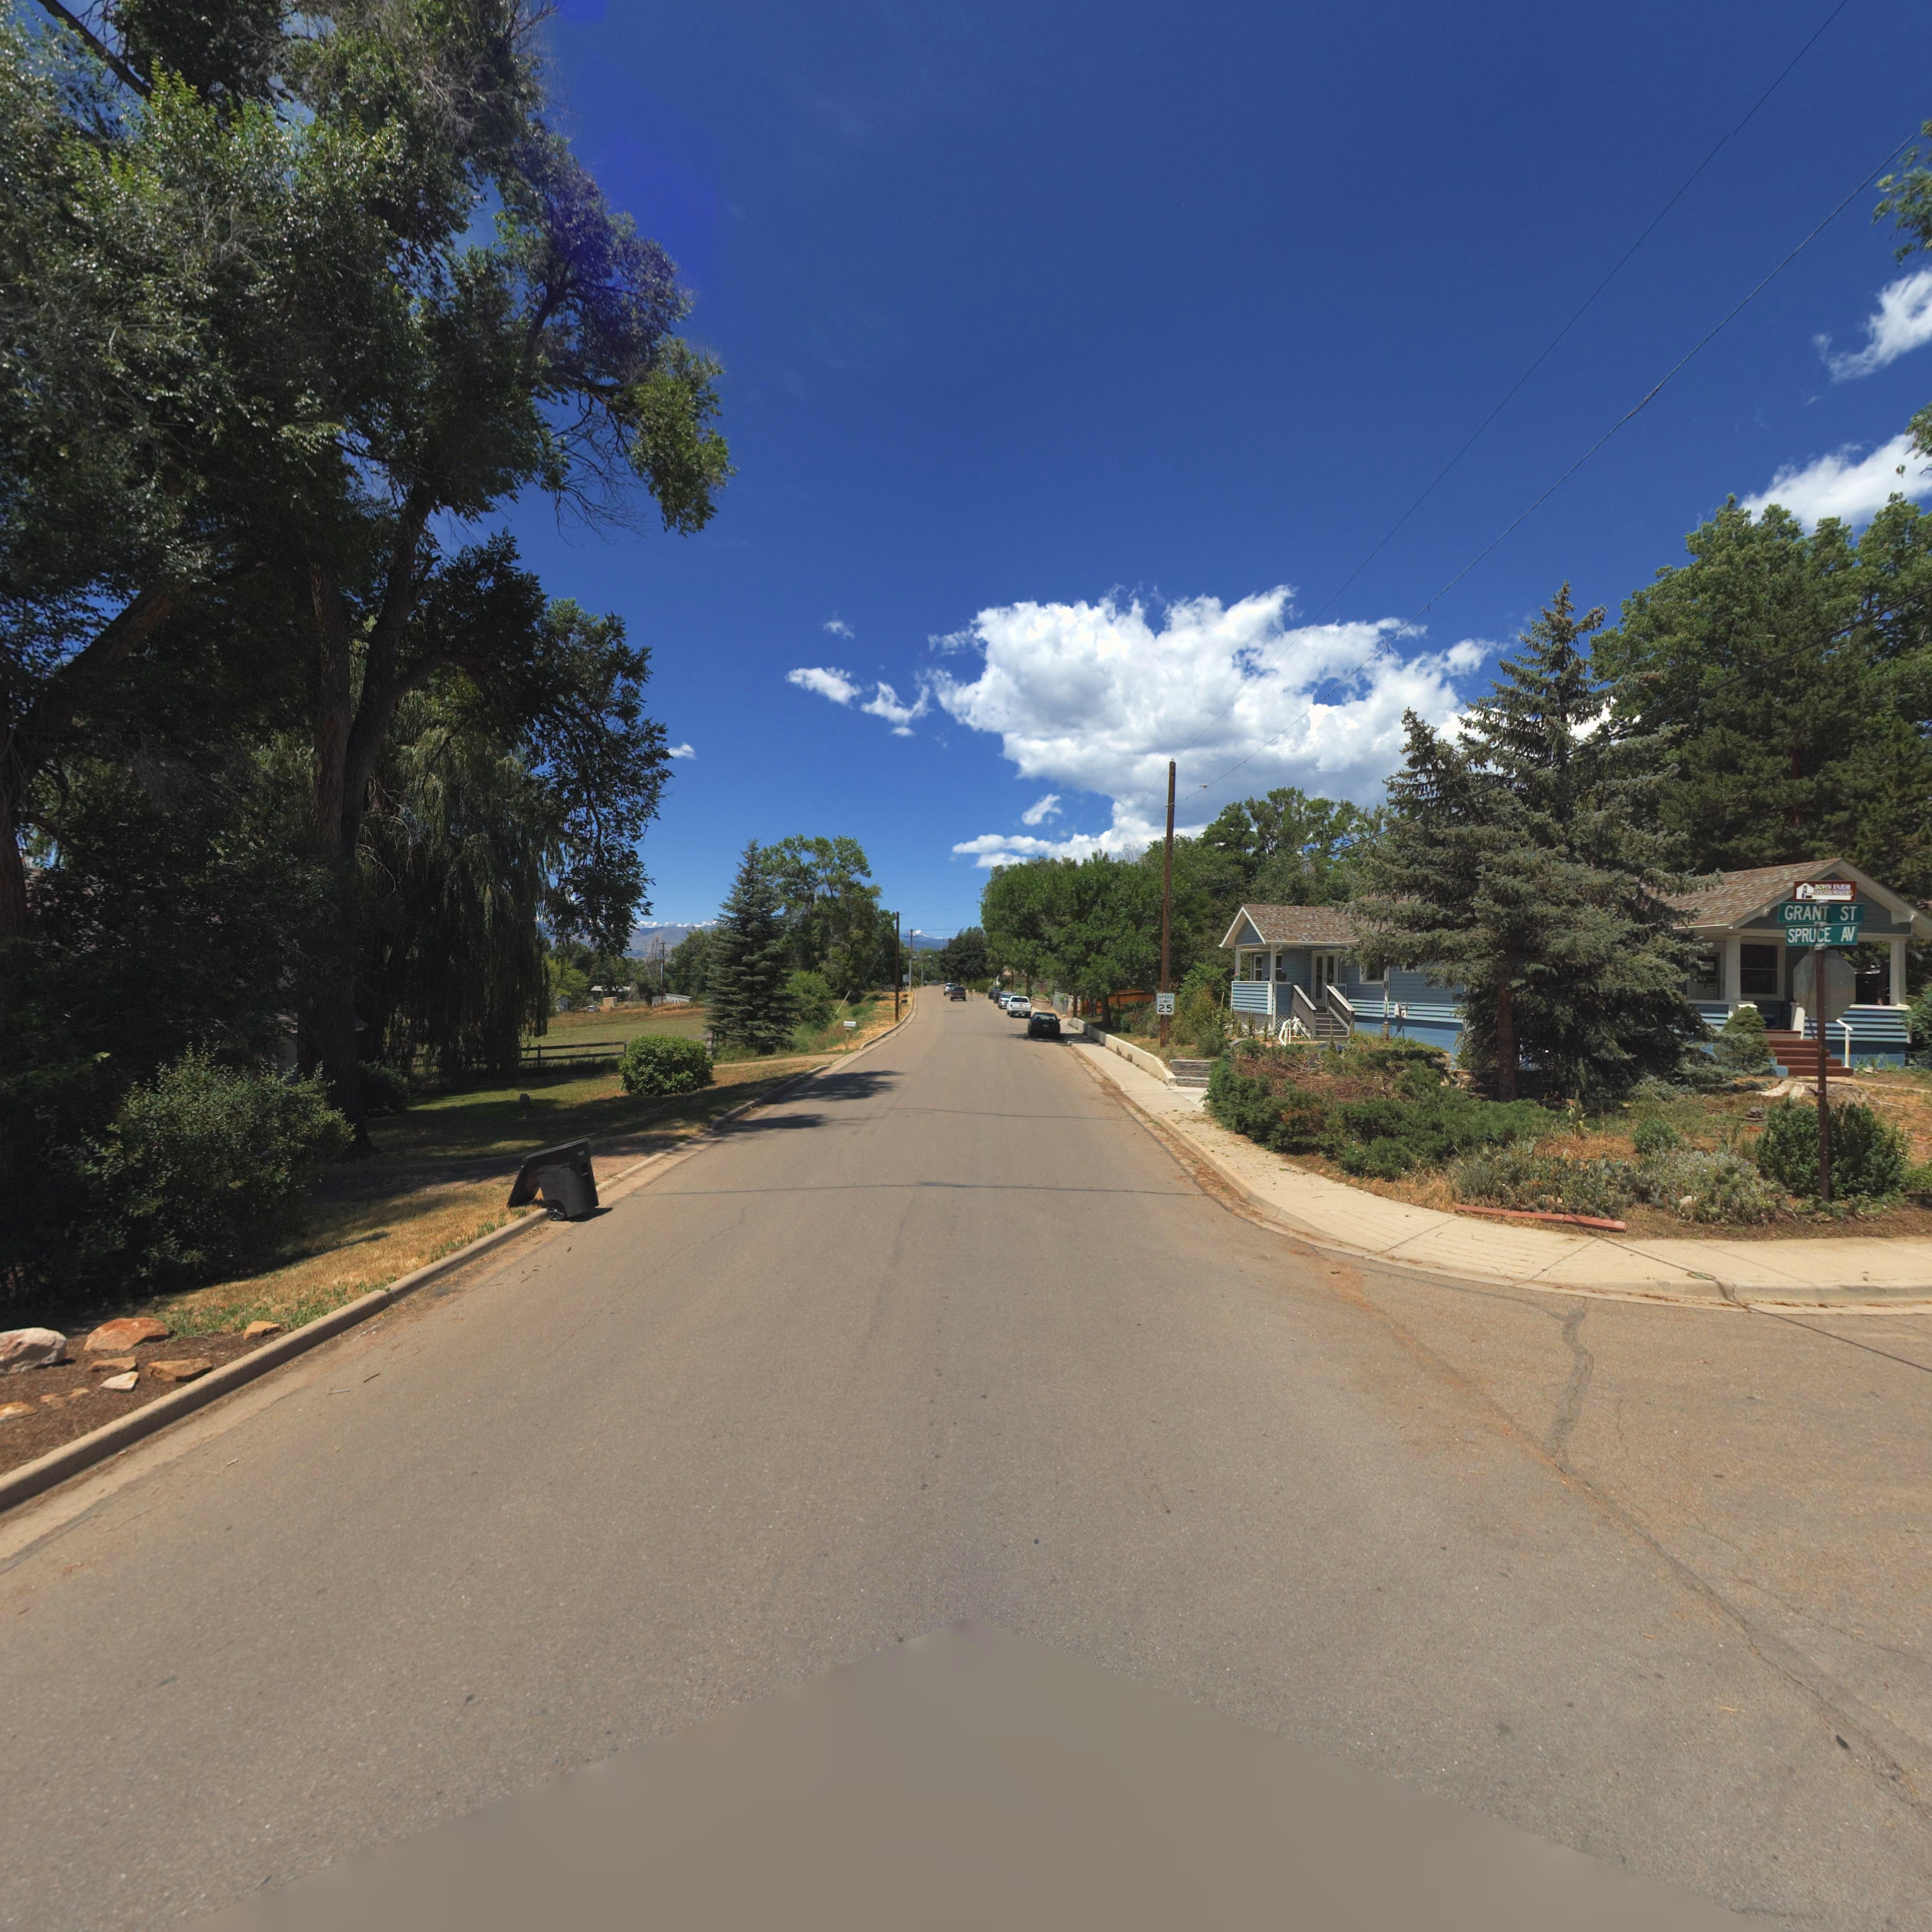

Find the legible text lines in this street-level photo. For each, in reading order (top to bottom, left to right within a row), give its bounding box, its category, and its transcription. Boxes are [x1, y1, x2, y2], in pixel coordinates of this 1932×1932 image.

[1784, 905, 1857, 921] StreetName: GRANT ST
[1787, 926, 1855, 943] StreetName: SPRUCE AV